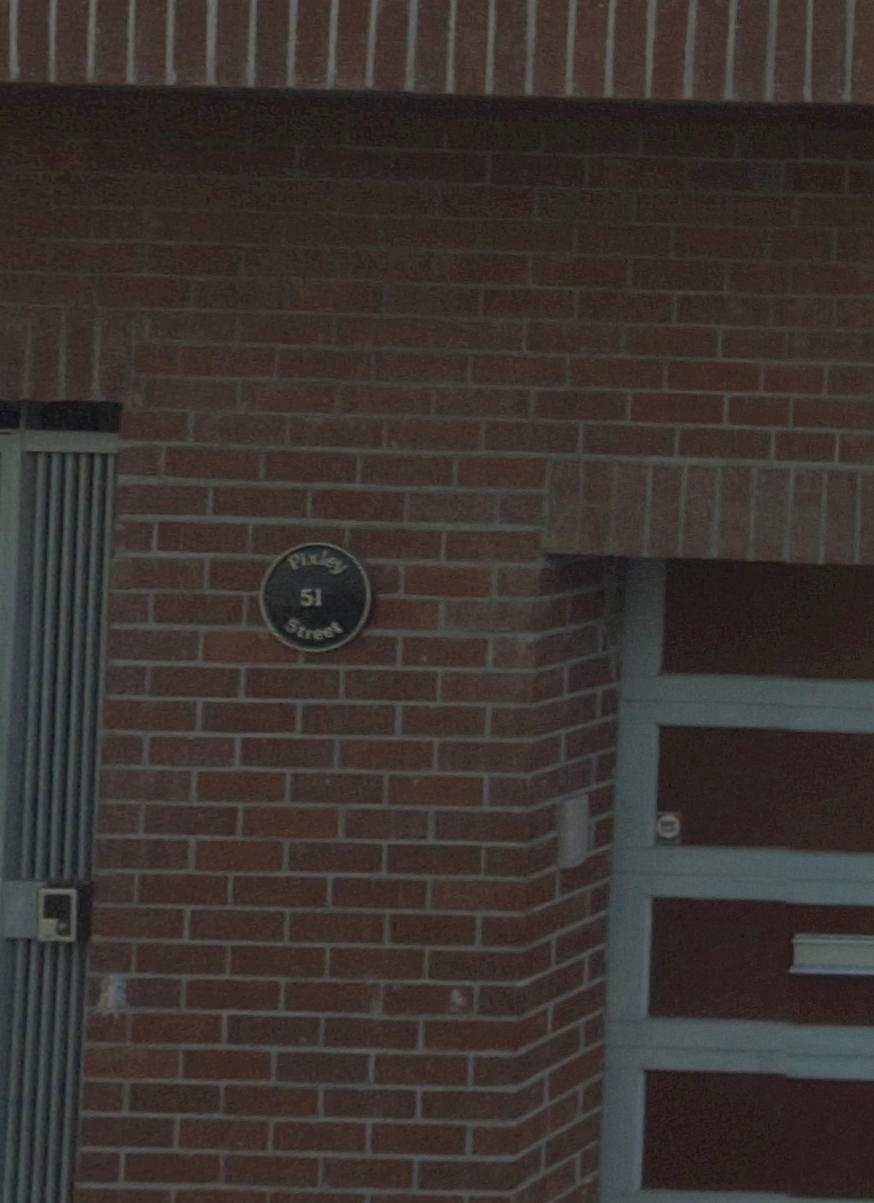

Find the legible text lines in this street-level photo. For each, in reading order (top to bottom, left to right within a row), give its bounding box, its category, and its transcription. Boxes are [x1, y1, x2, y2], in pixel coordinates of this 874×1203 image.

[279, 544, 353, 579] StreetName: Pixley
[297, 584, 325, 610] StreetNumber: 51
[279, 612, 348, 646] StreetName: Street